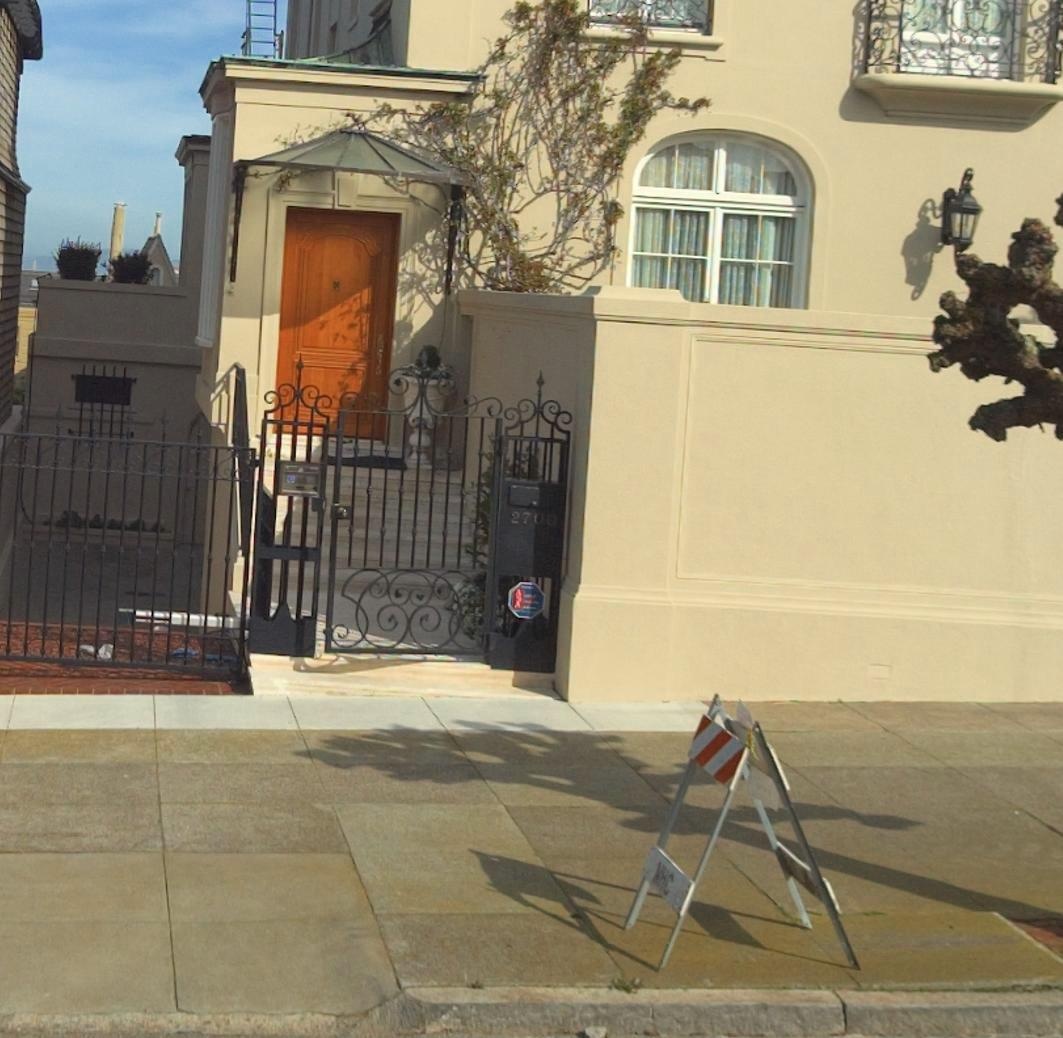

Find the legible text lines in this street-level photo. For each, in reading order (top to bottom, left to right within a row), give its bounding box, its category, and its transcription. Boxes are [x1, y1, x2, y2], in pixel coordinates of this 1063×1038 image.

[508, 508, 559, 529] StreetNumber: 2700